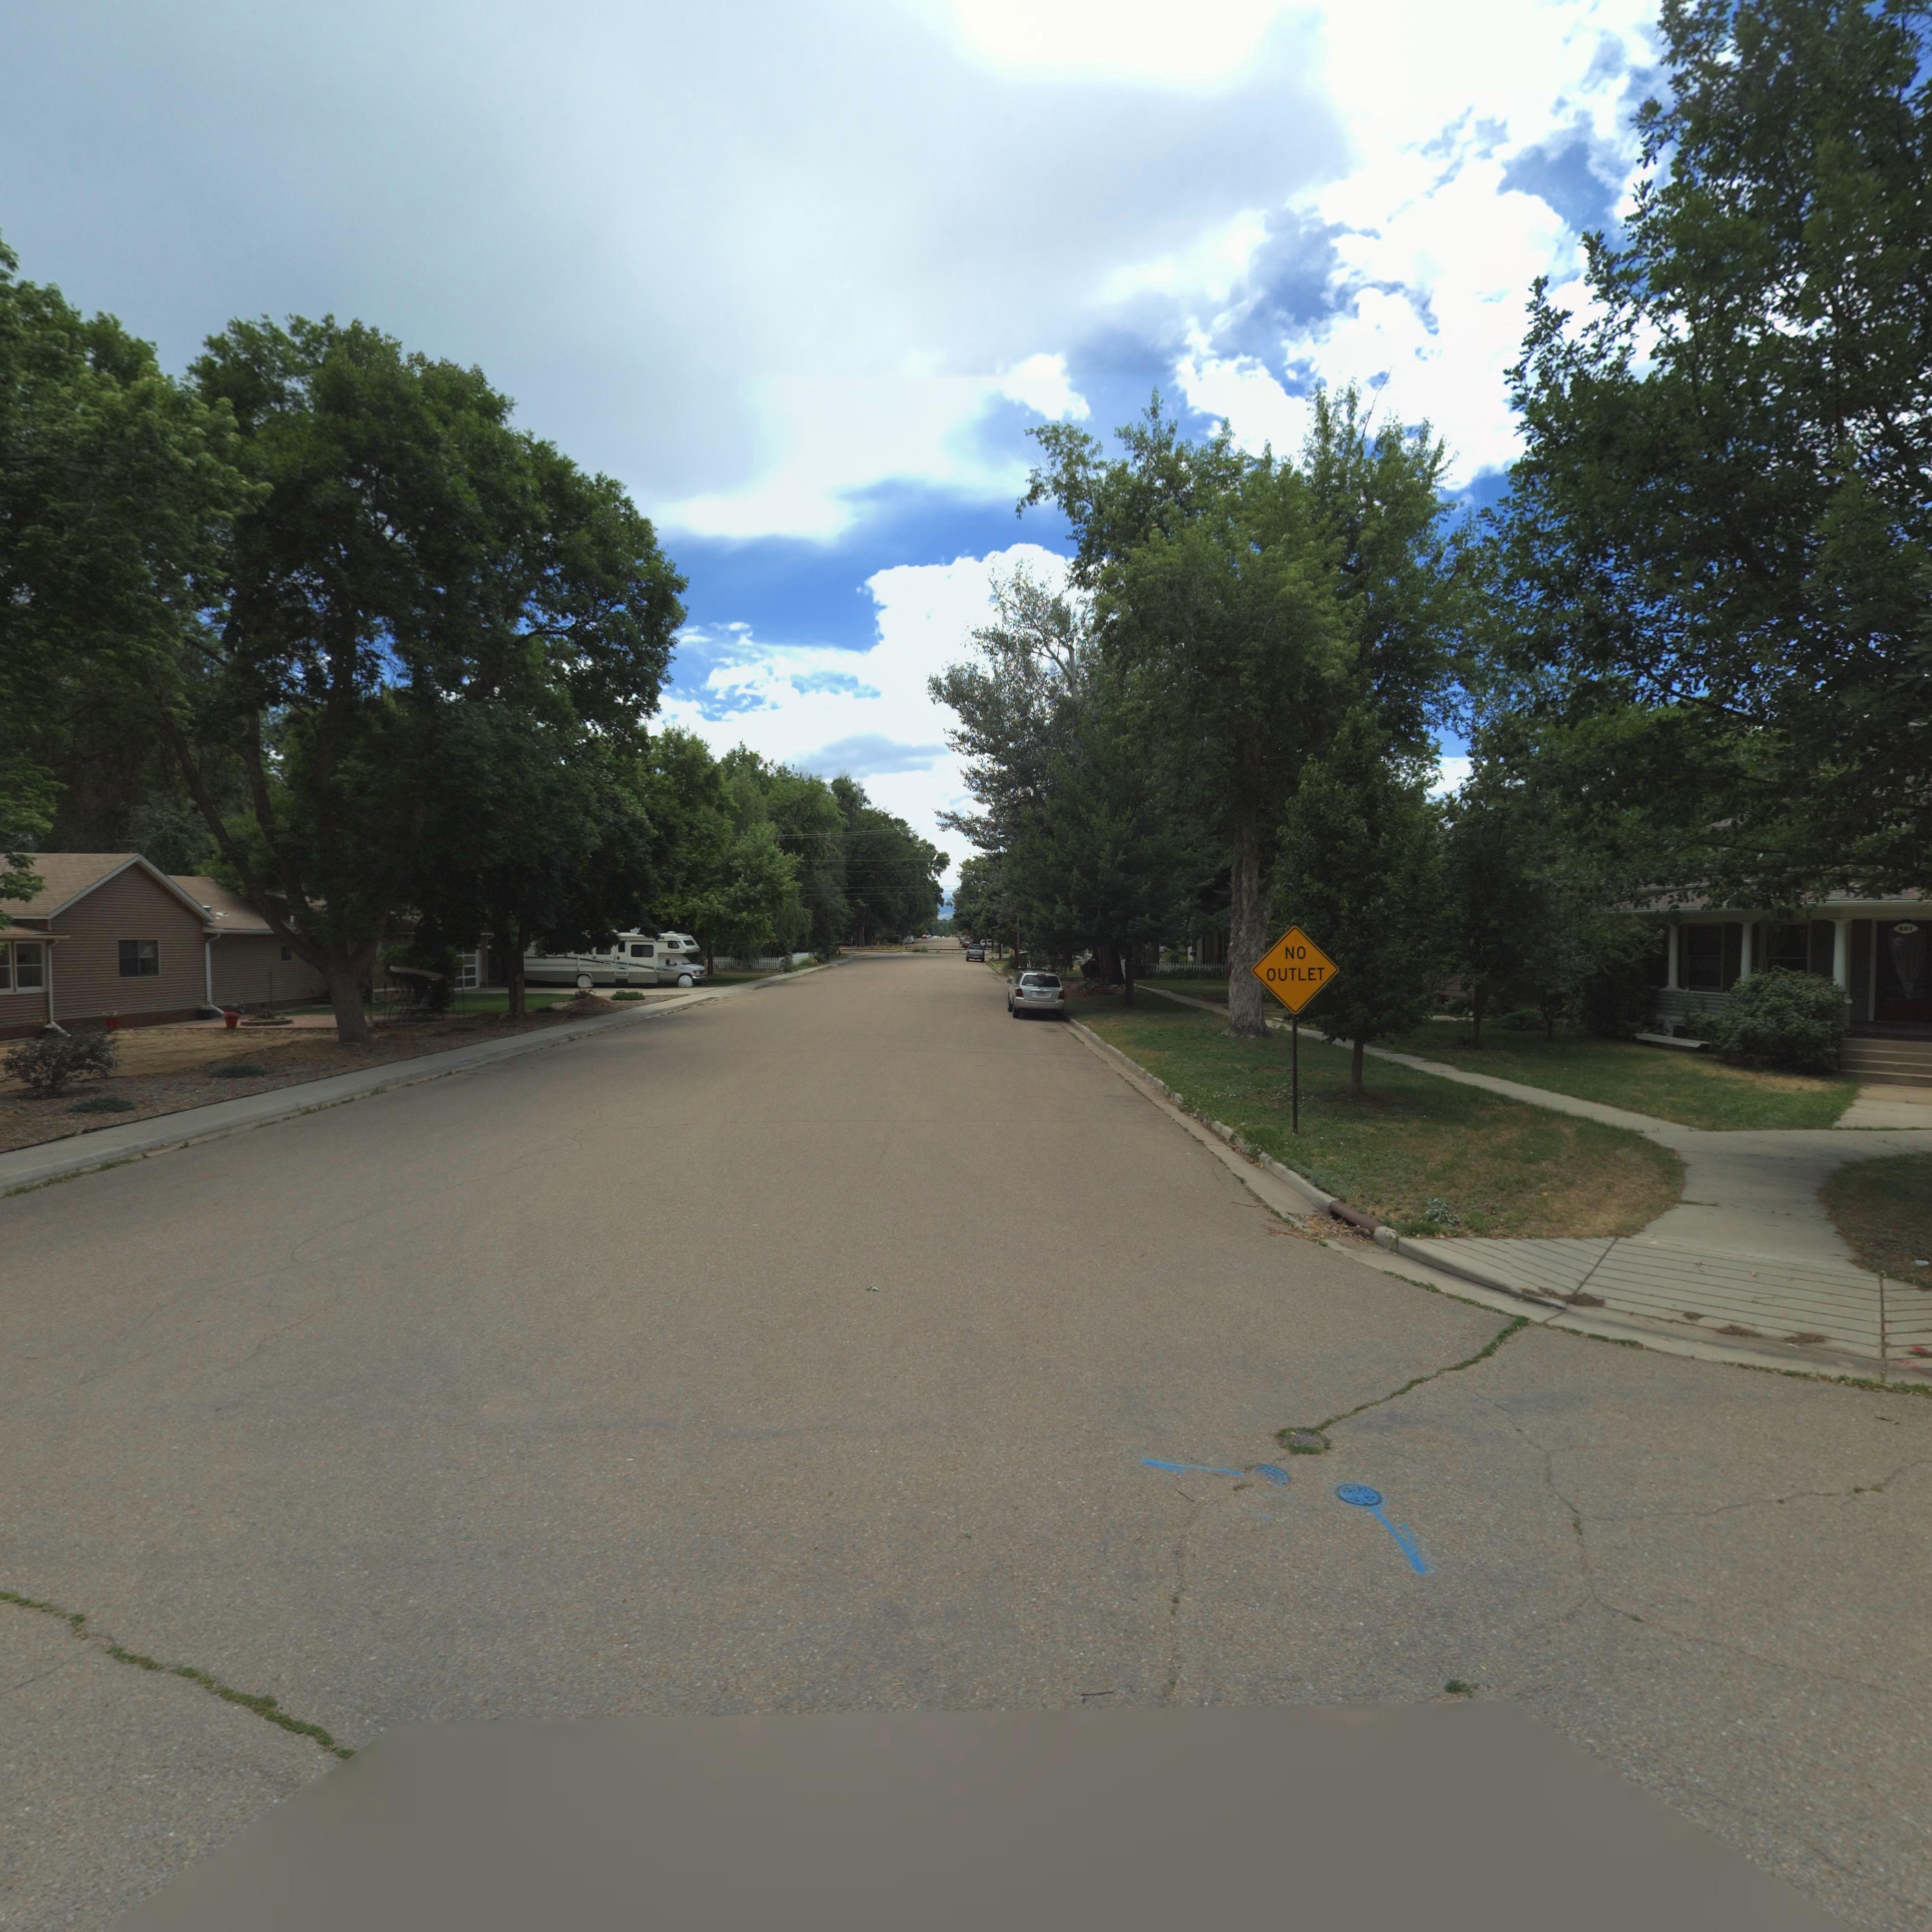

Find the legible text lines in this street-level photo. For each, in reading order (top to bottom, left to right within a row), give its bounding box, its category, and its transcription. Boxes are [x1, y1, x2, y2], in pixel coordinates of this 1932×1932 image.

[1897, 925, 1913, 931] StreetNumber: *0*